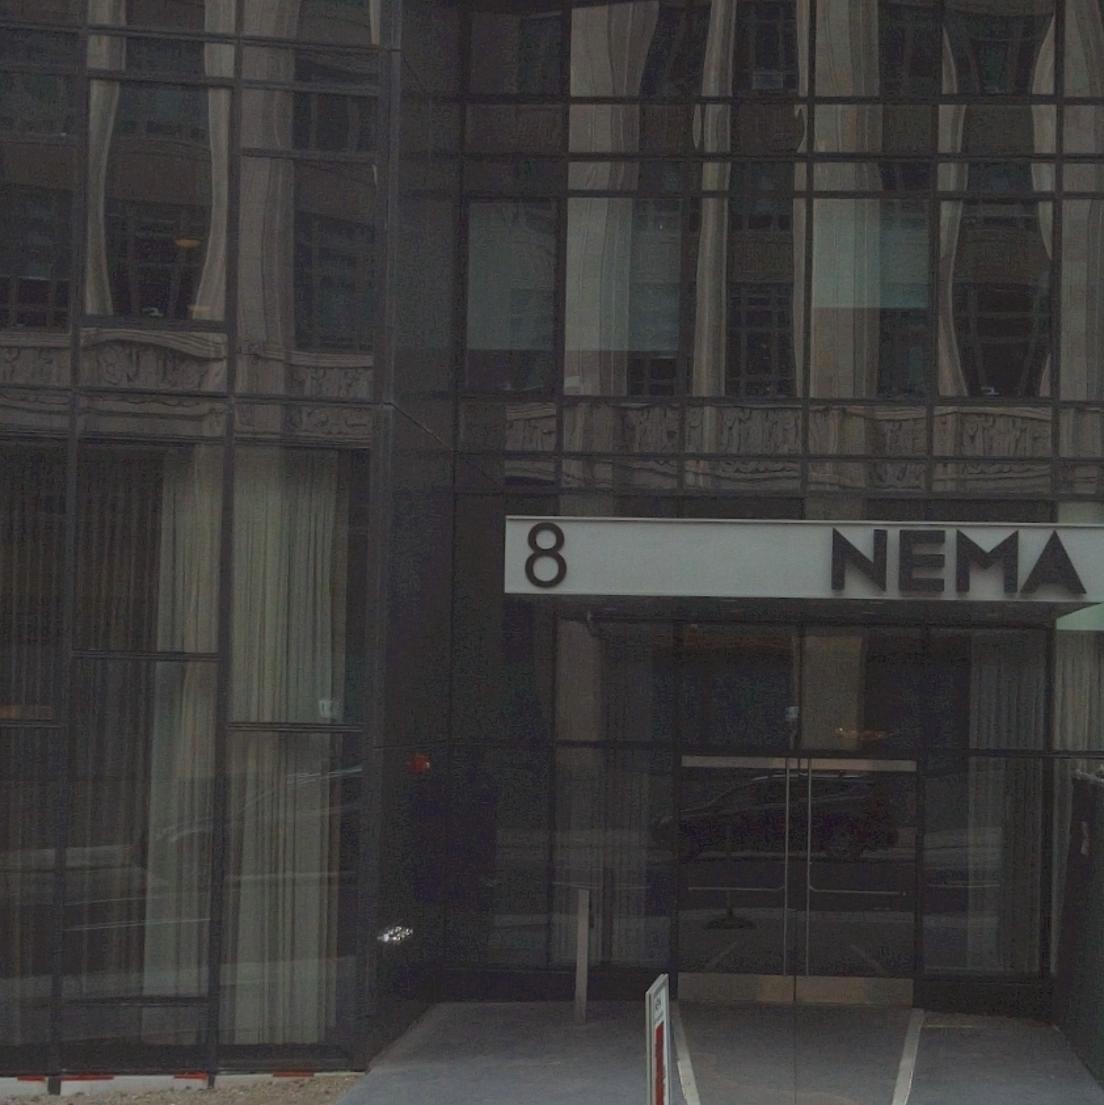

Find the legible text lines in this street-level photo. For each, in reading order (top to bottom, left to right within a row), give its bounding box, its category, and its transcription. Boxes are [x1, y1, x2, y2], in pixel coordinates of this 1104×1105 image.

[523, 520, 569, 591] StreetNumber: 8
[825, 519, 1094, 601] None: NEMA